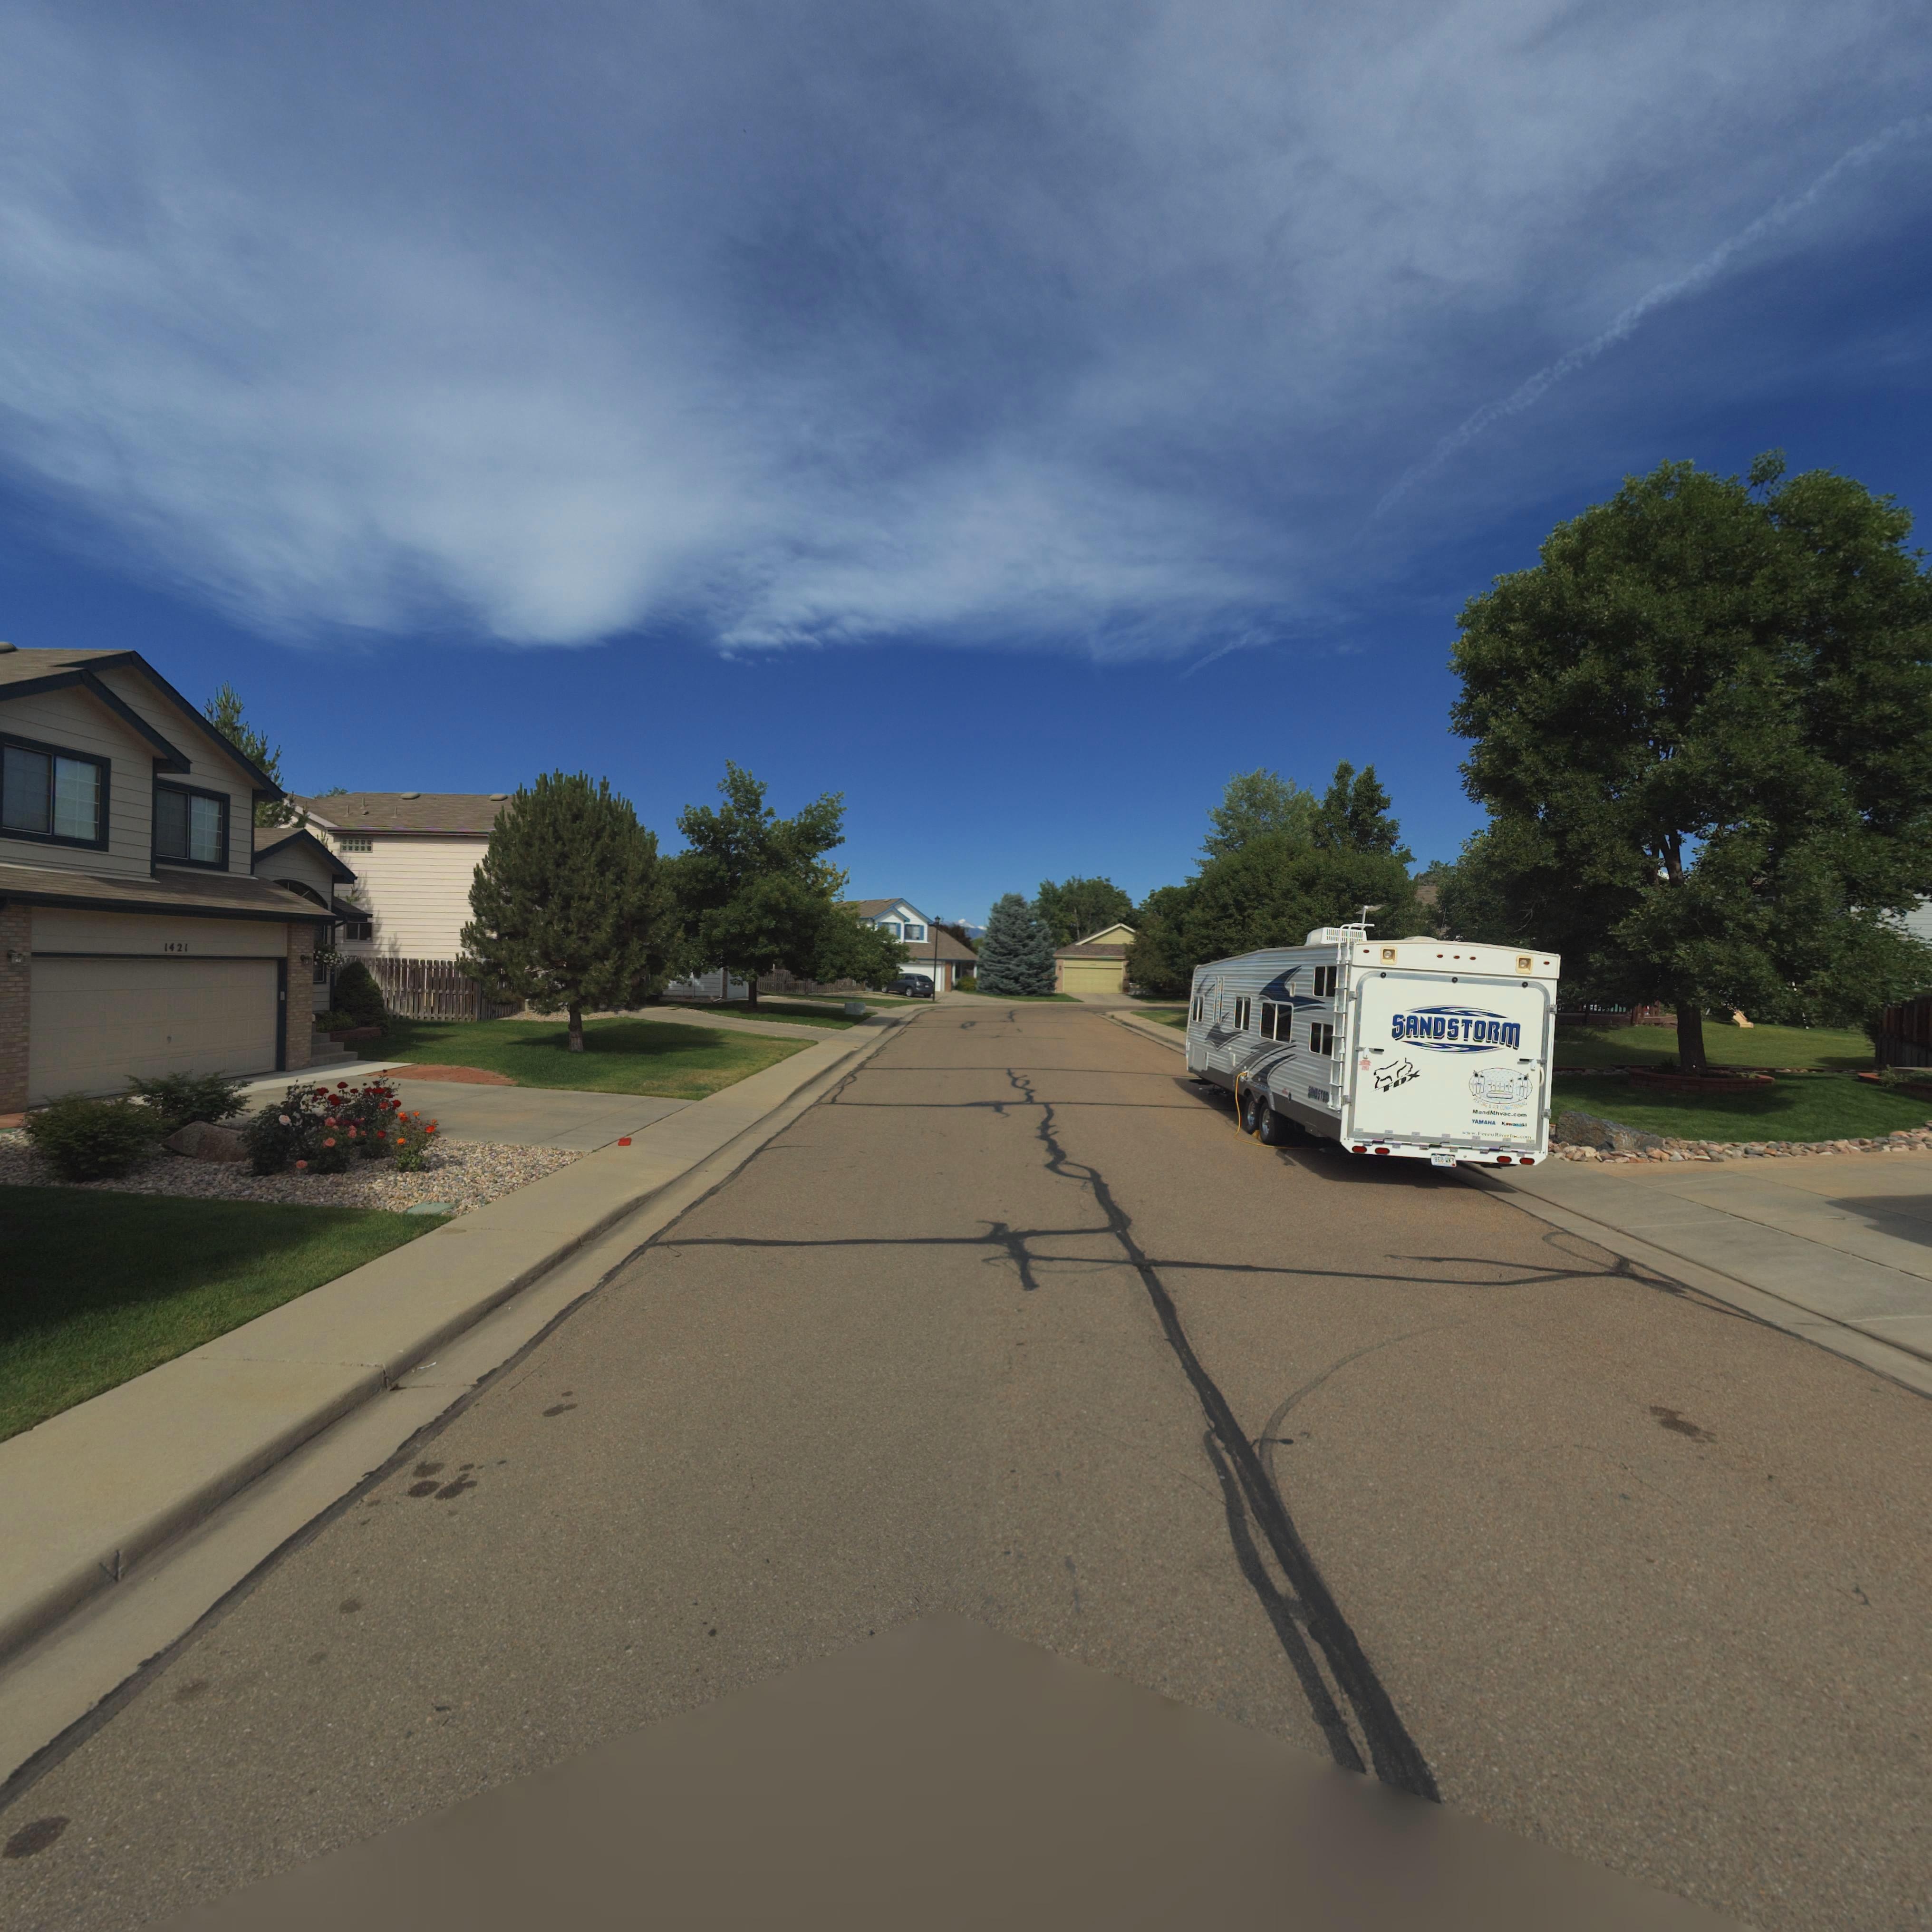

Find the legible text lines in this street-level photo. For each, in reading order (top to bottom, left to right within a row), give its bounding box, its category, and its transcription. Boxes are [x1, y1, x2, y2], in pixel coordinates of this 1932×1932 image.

[164, 942, 188, 952] StreetNumber: 1421